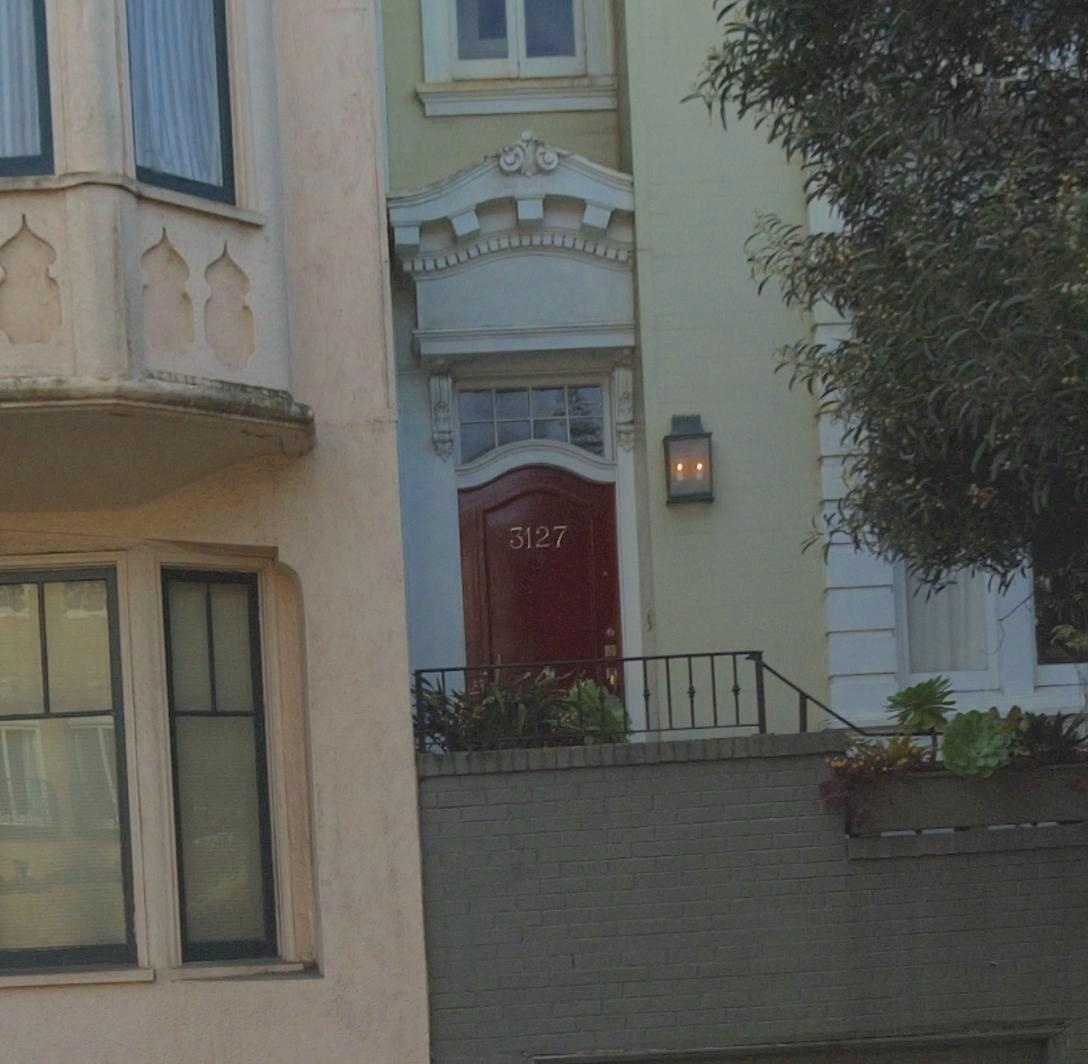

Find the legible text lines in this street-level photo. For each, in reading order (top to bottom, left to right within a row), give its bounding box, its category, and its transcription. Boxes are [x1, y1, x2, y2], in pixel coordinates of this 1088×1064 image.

[506, 523, 570, 552] StreetNumber: 3127